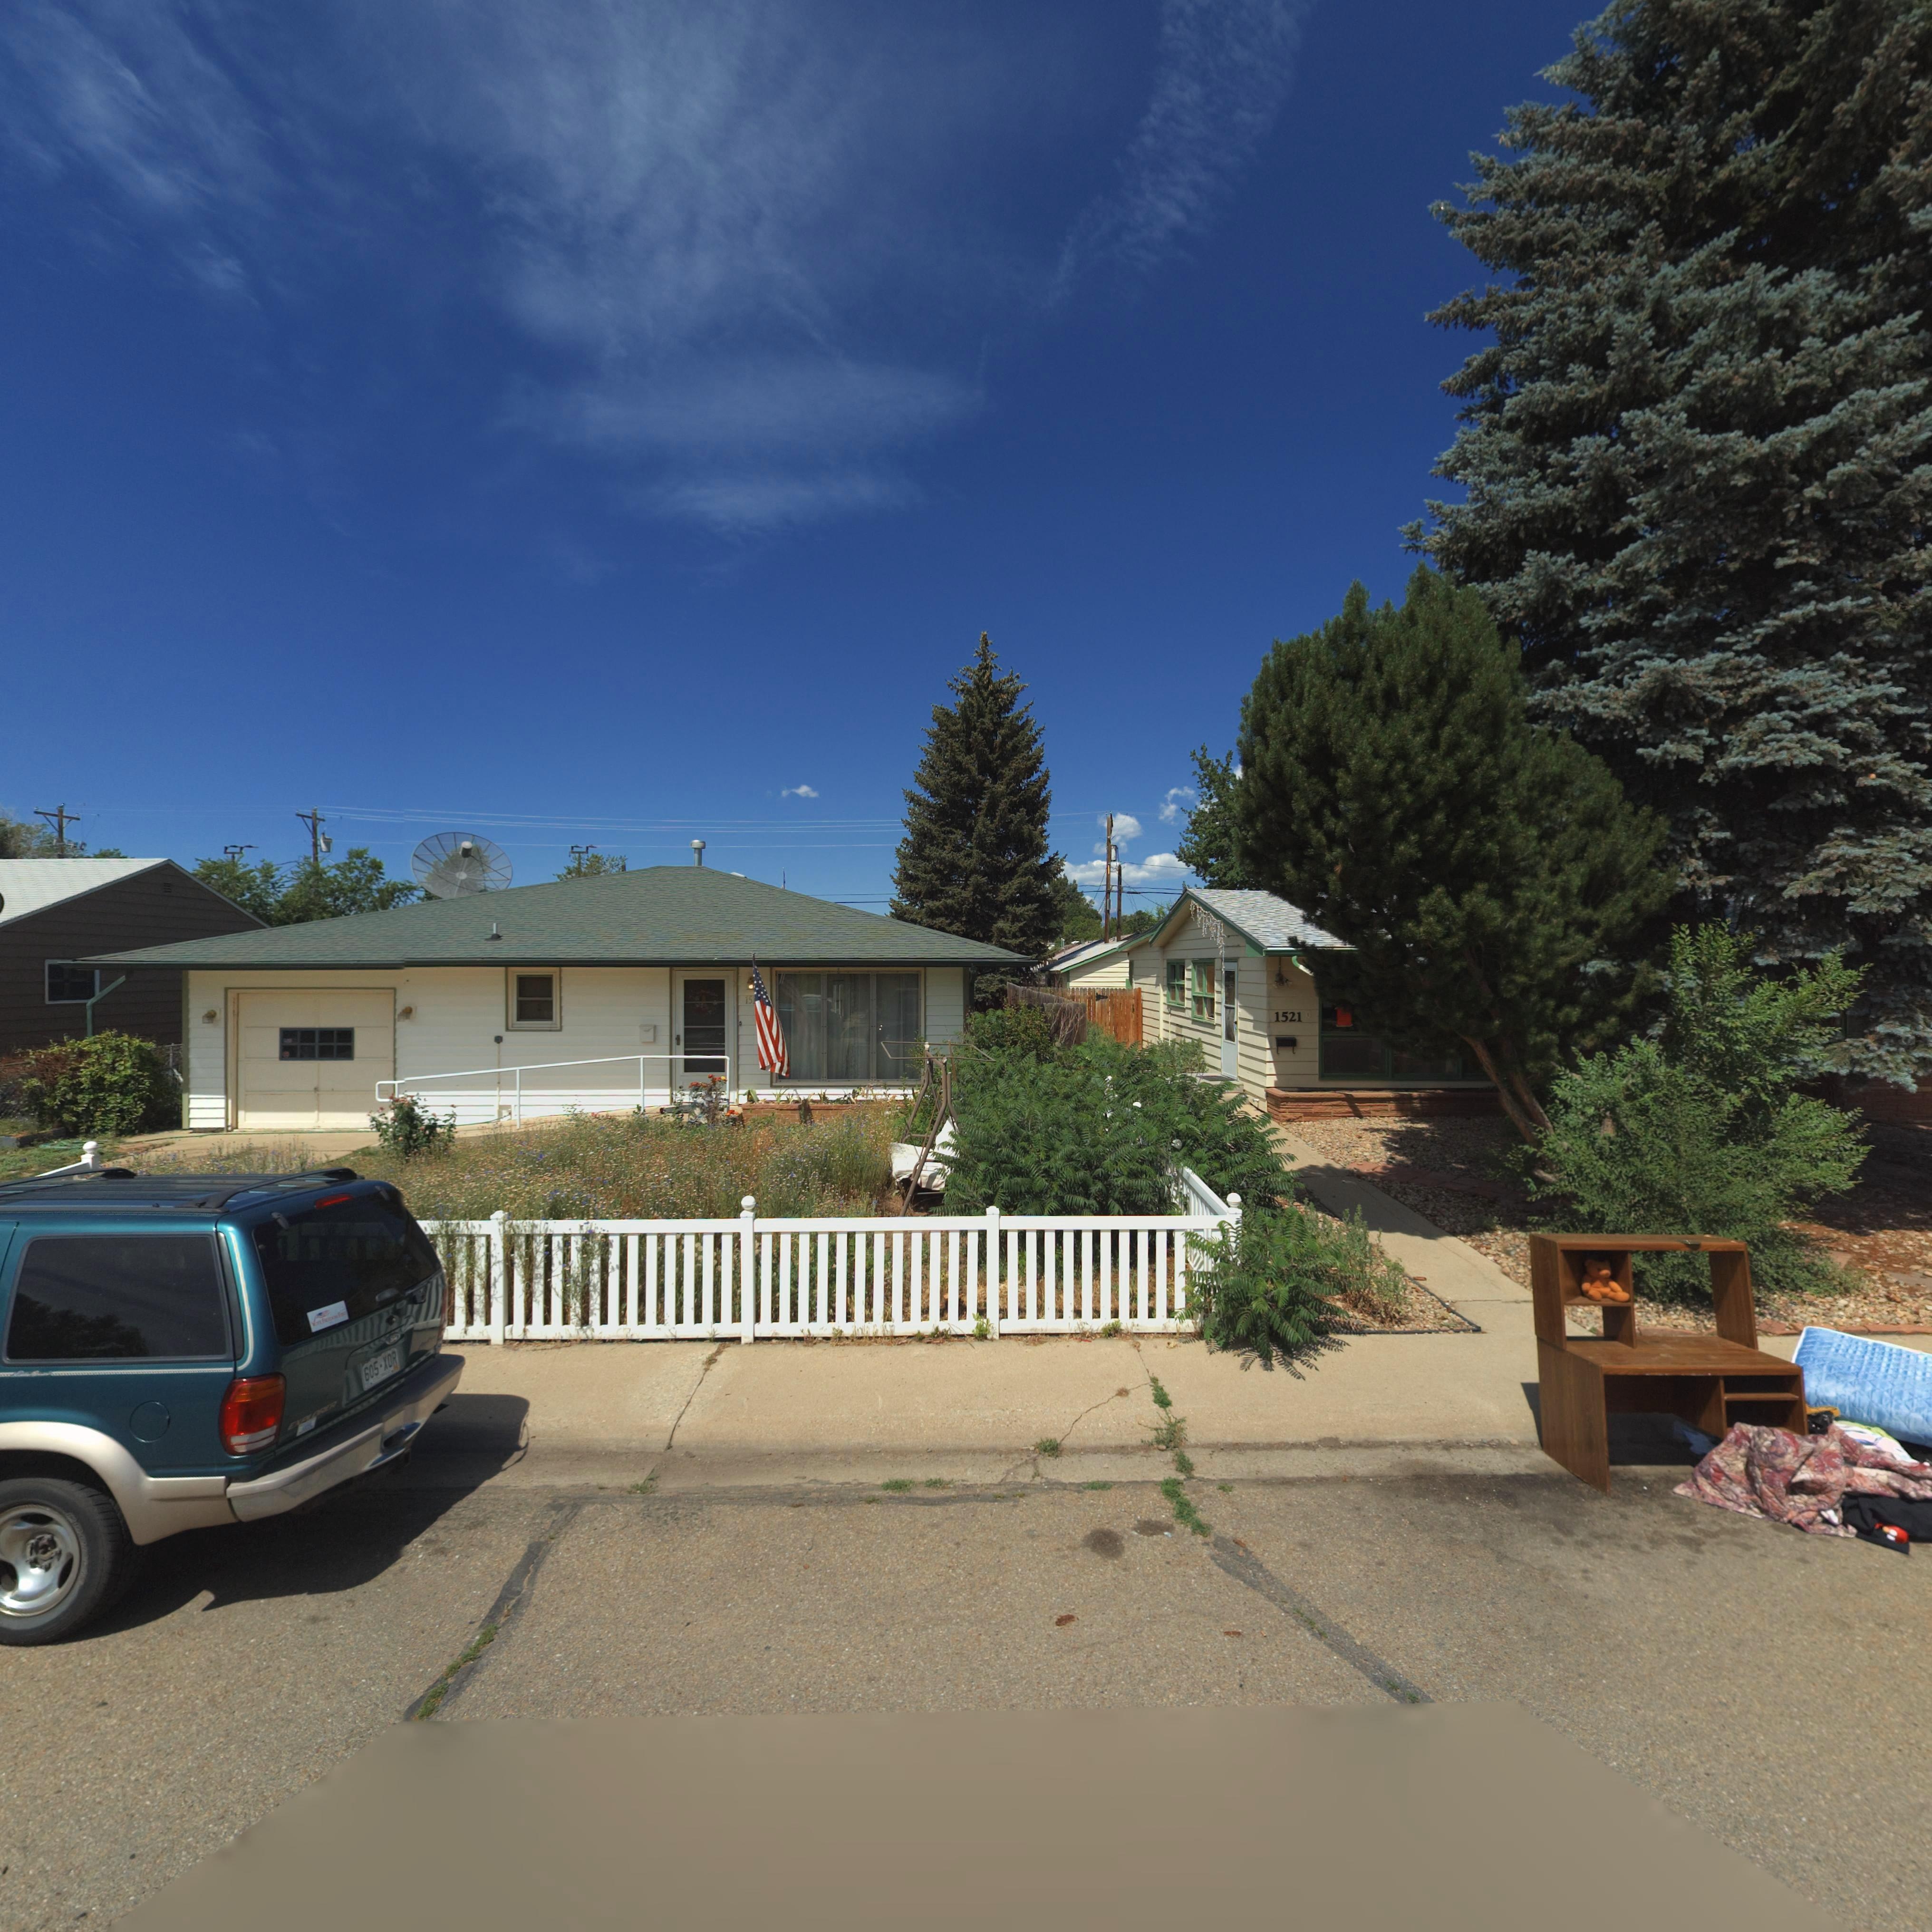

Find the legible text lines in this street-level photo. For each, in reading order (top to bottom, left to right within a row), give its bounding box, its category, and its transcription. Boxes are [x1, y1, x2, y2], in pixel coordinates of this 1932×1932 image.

[744, 995, 753, 1005] StreetNumber: 15
[1274, 1011, 1303, 1023] StreetName: 1521